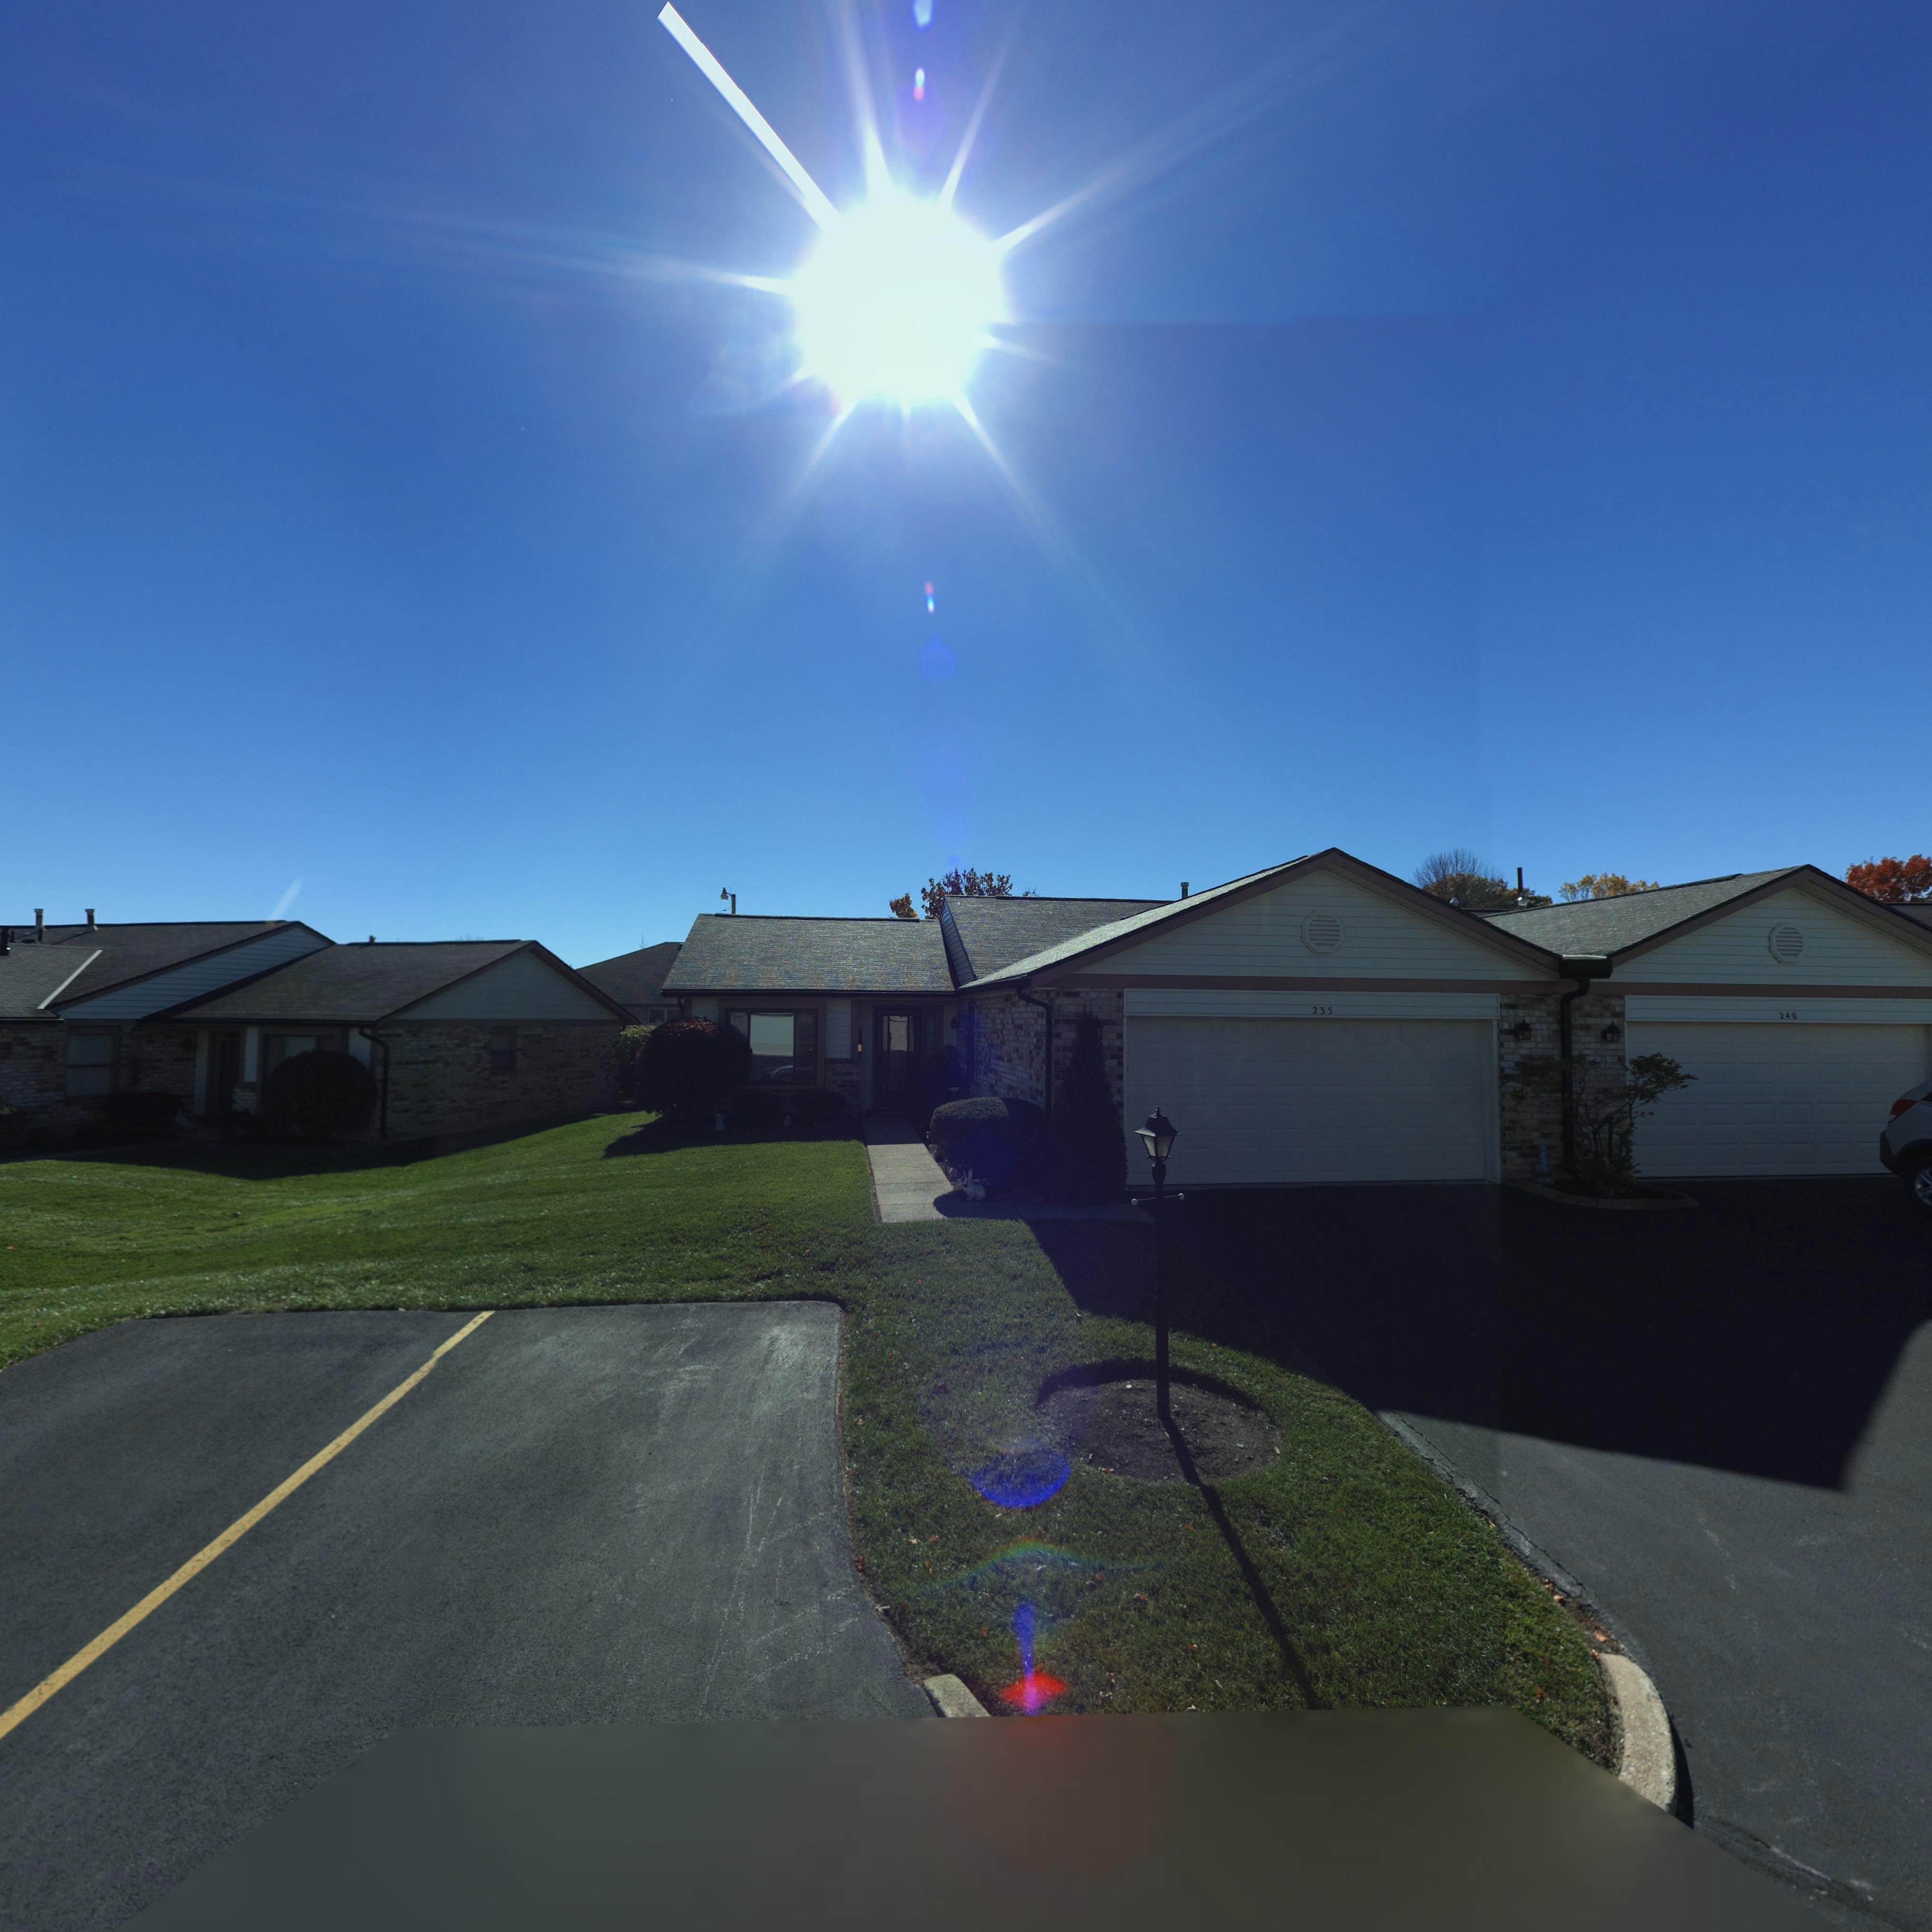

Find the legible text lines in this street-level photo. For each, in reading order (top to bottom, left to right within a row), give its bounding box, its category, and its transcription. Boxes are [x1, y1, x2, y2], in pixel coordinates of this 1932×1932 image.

[1311, 1005, 1333, 1015] StreetNumber: 235
[1777, 1011, 1797, 1020] StreetNumber: 240